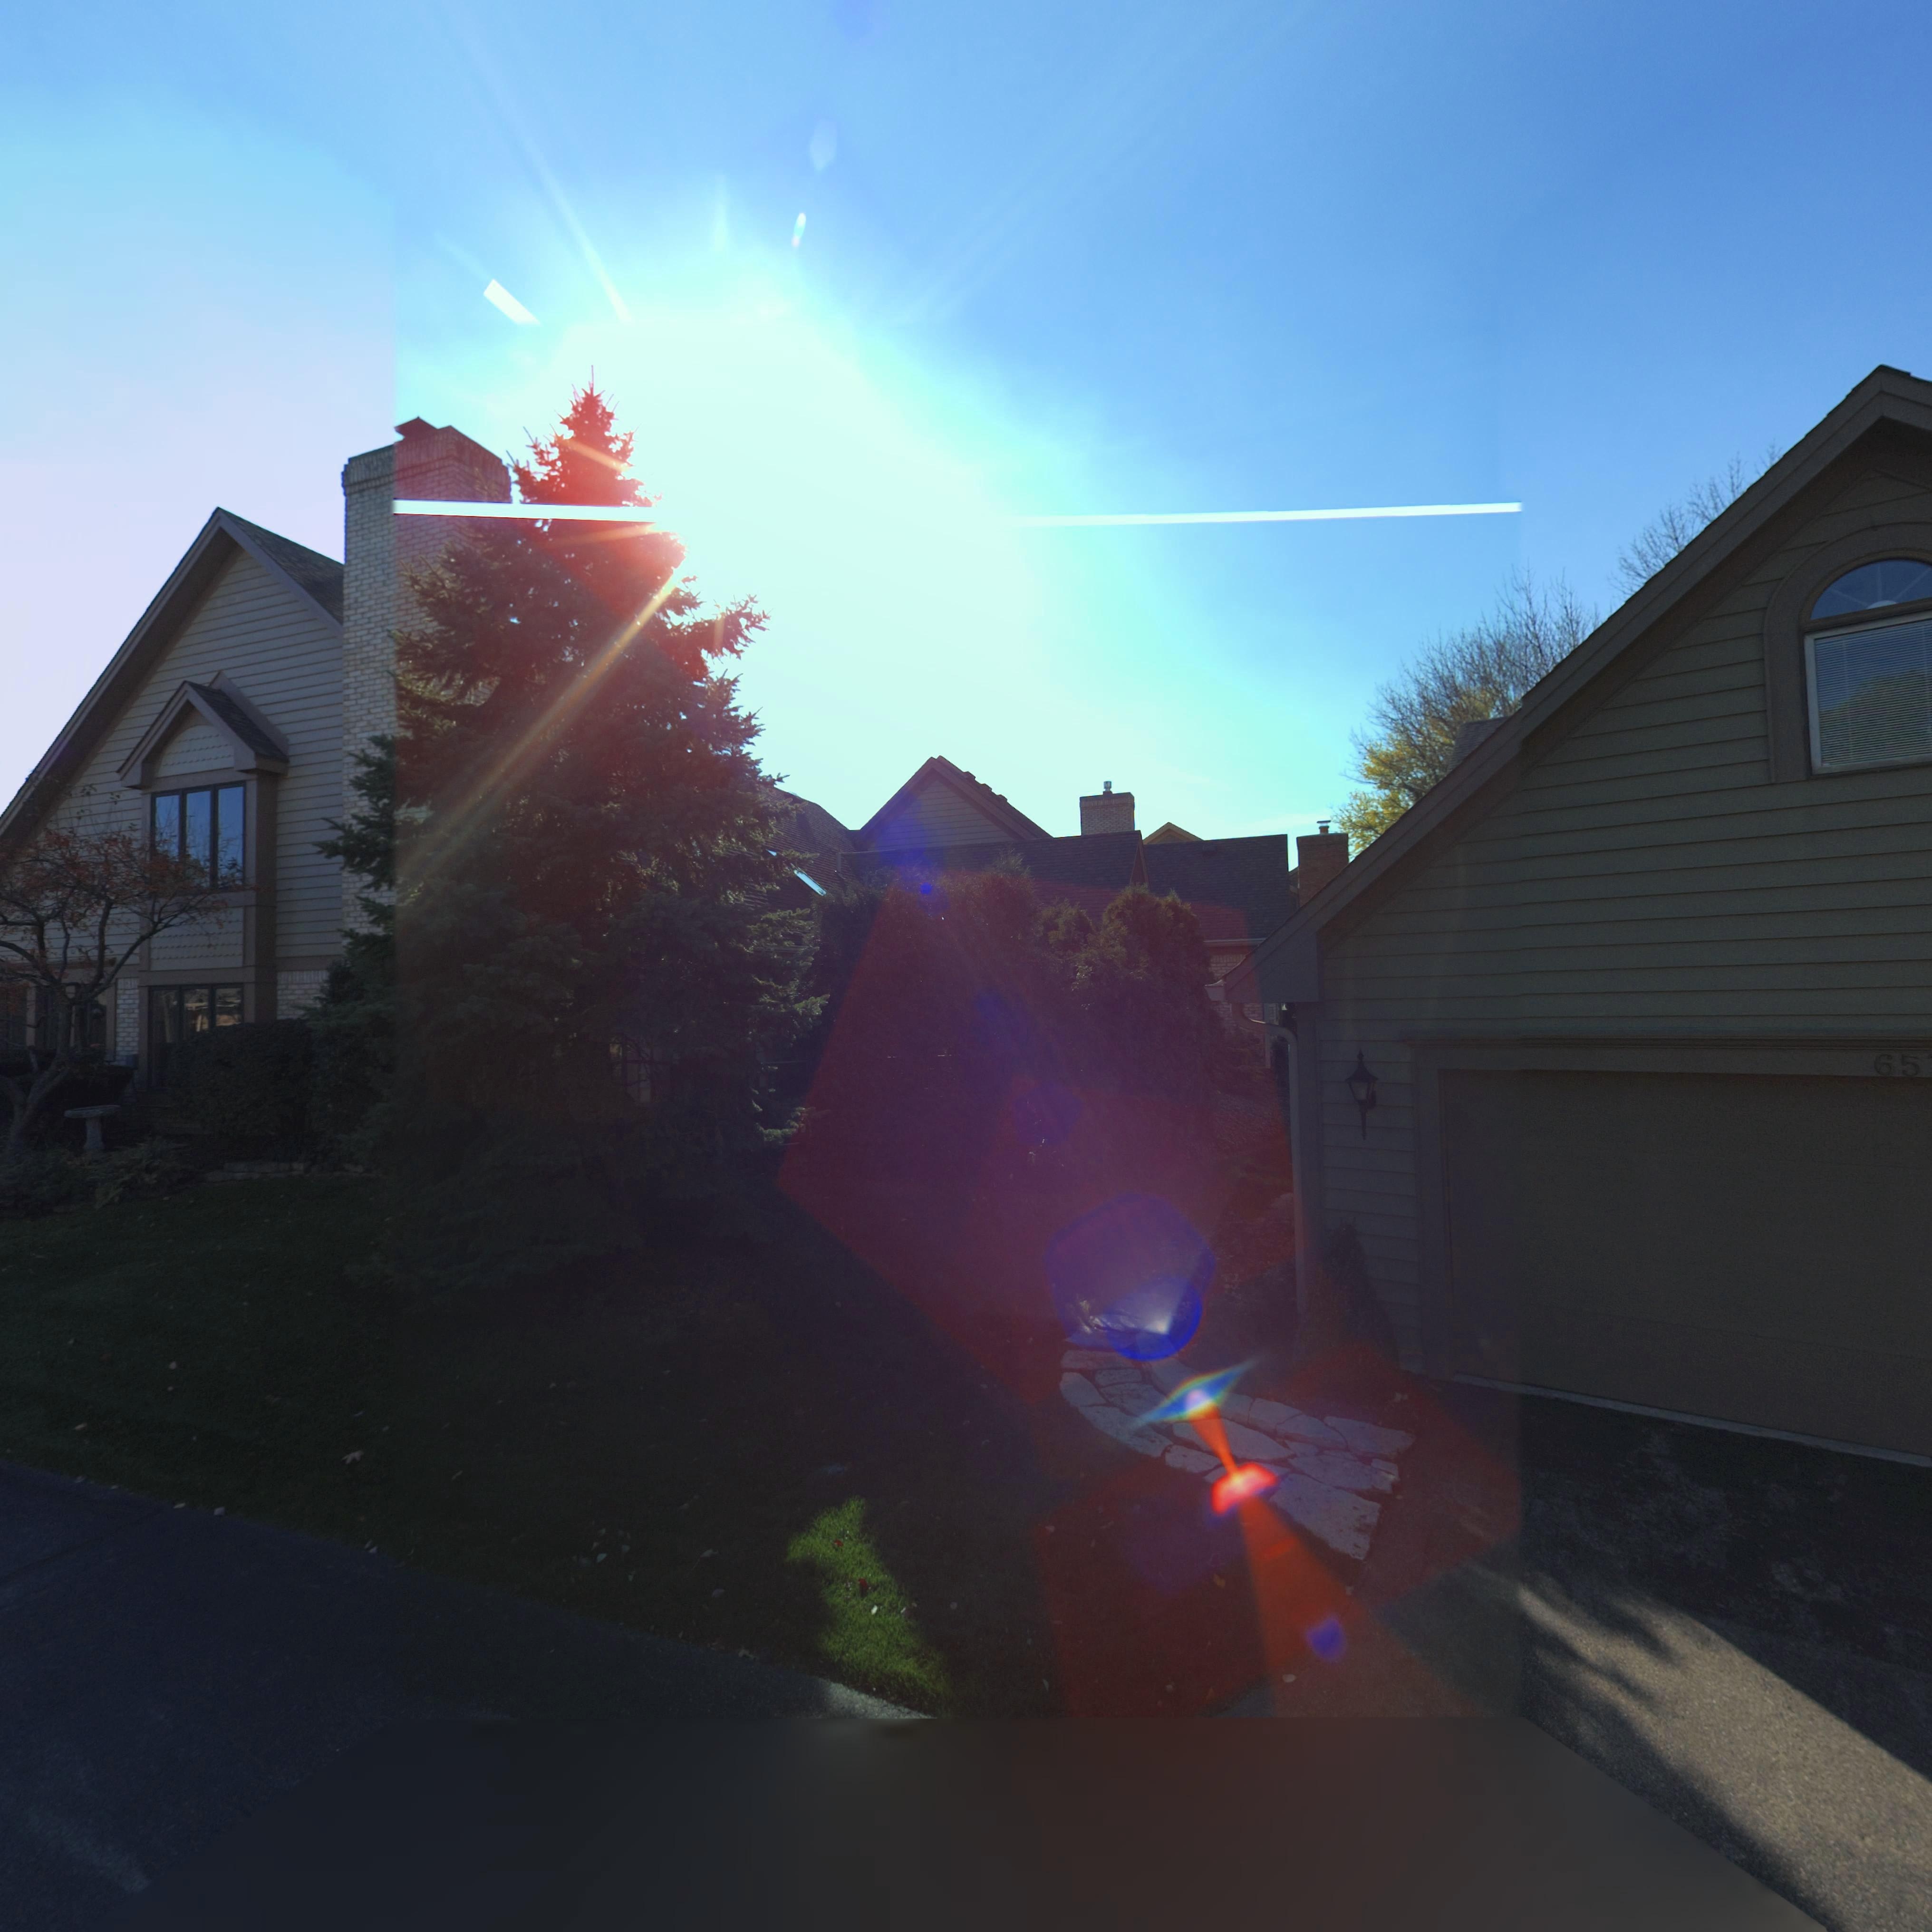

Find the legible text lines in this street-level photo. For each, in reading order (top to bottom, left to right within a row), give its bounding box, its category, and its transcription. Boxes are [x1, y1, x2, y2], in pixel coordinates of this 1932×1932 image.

[1873, 1053, 1922, 1077] StreetNumber: 65